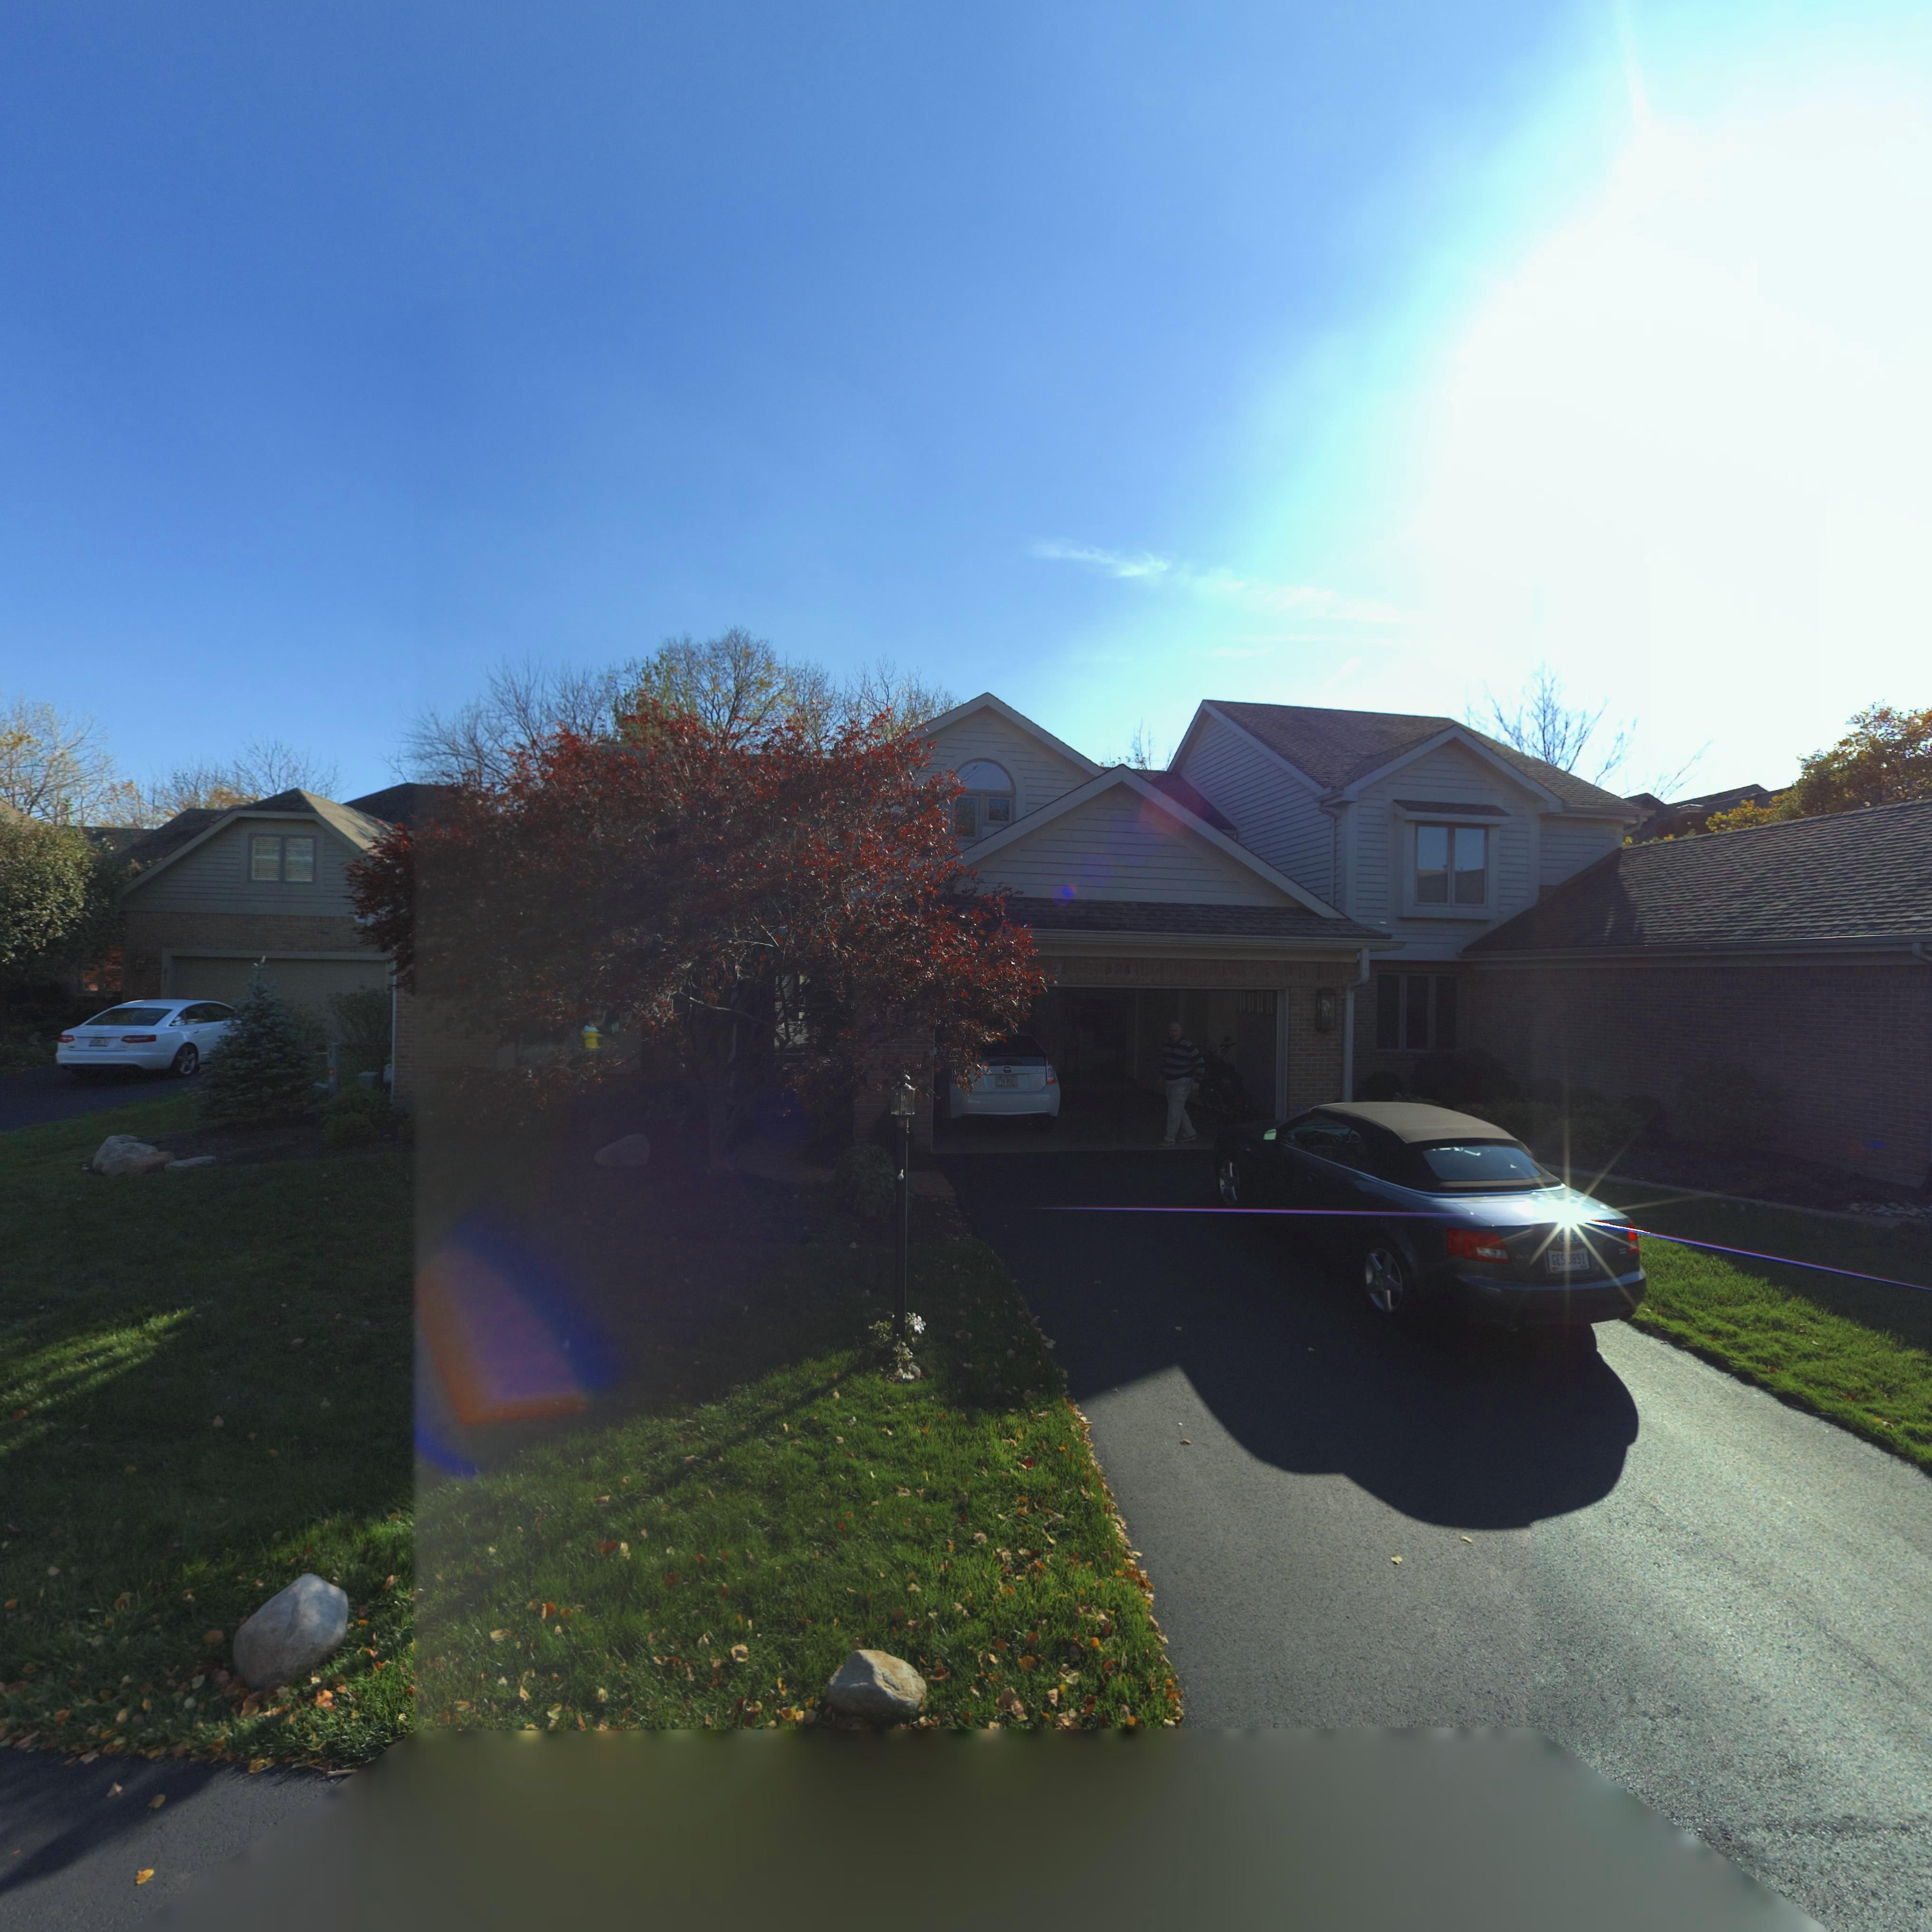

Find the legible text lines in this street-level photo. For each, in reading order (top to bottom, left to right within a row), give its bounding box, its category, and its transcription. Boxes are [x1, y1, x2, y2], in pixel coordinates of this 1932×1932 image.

[1104, 963, 1132, 976] StreetNumber: 8*4